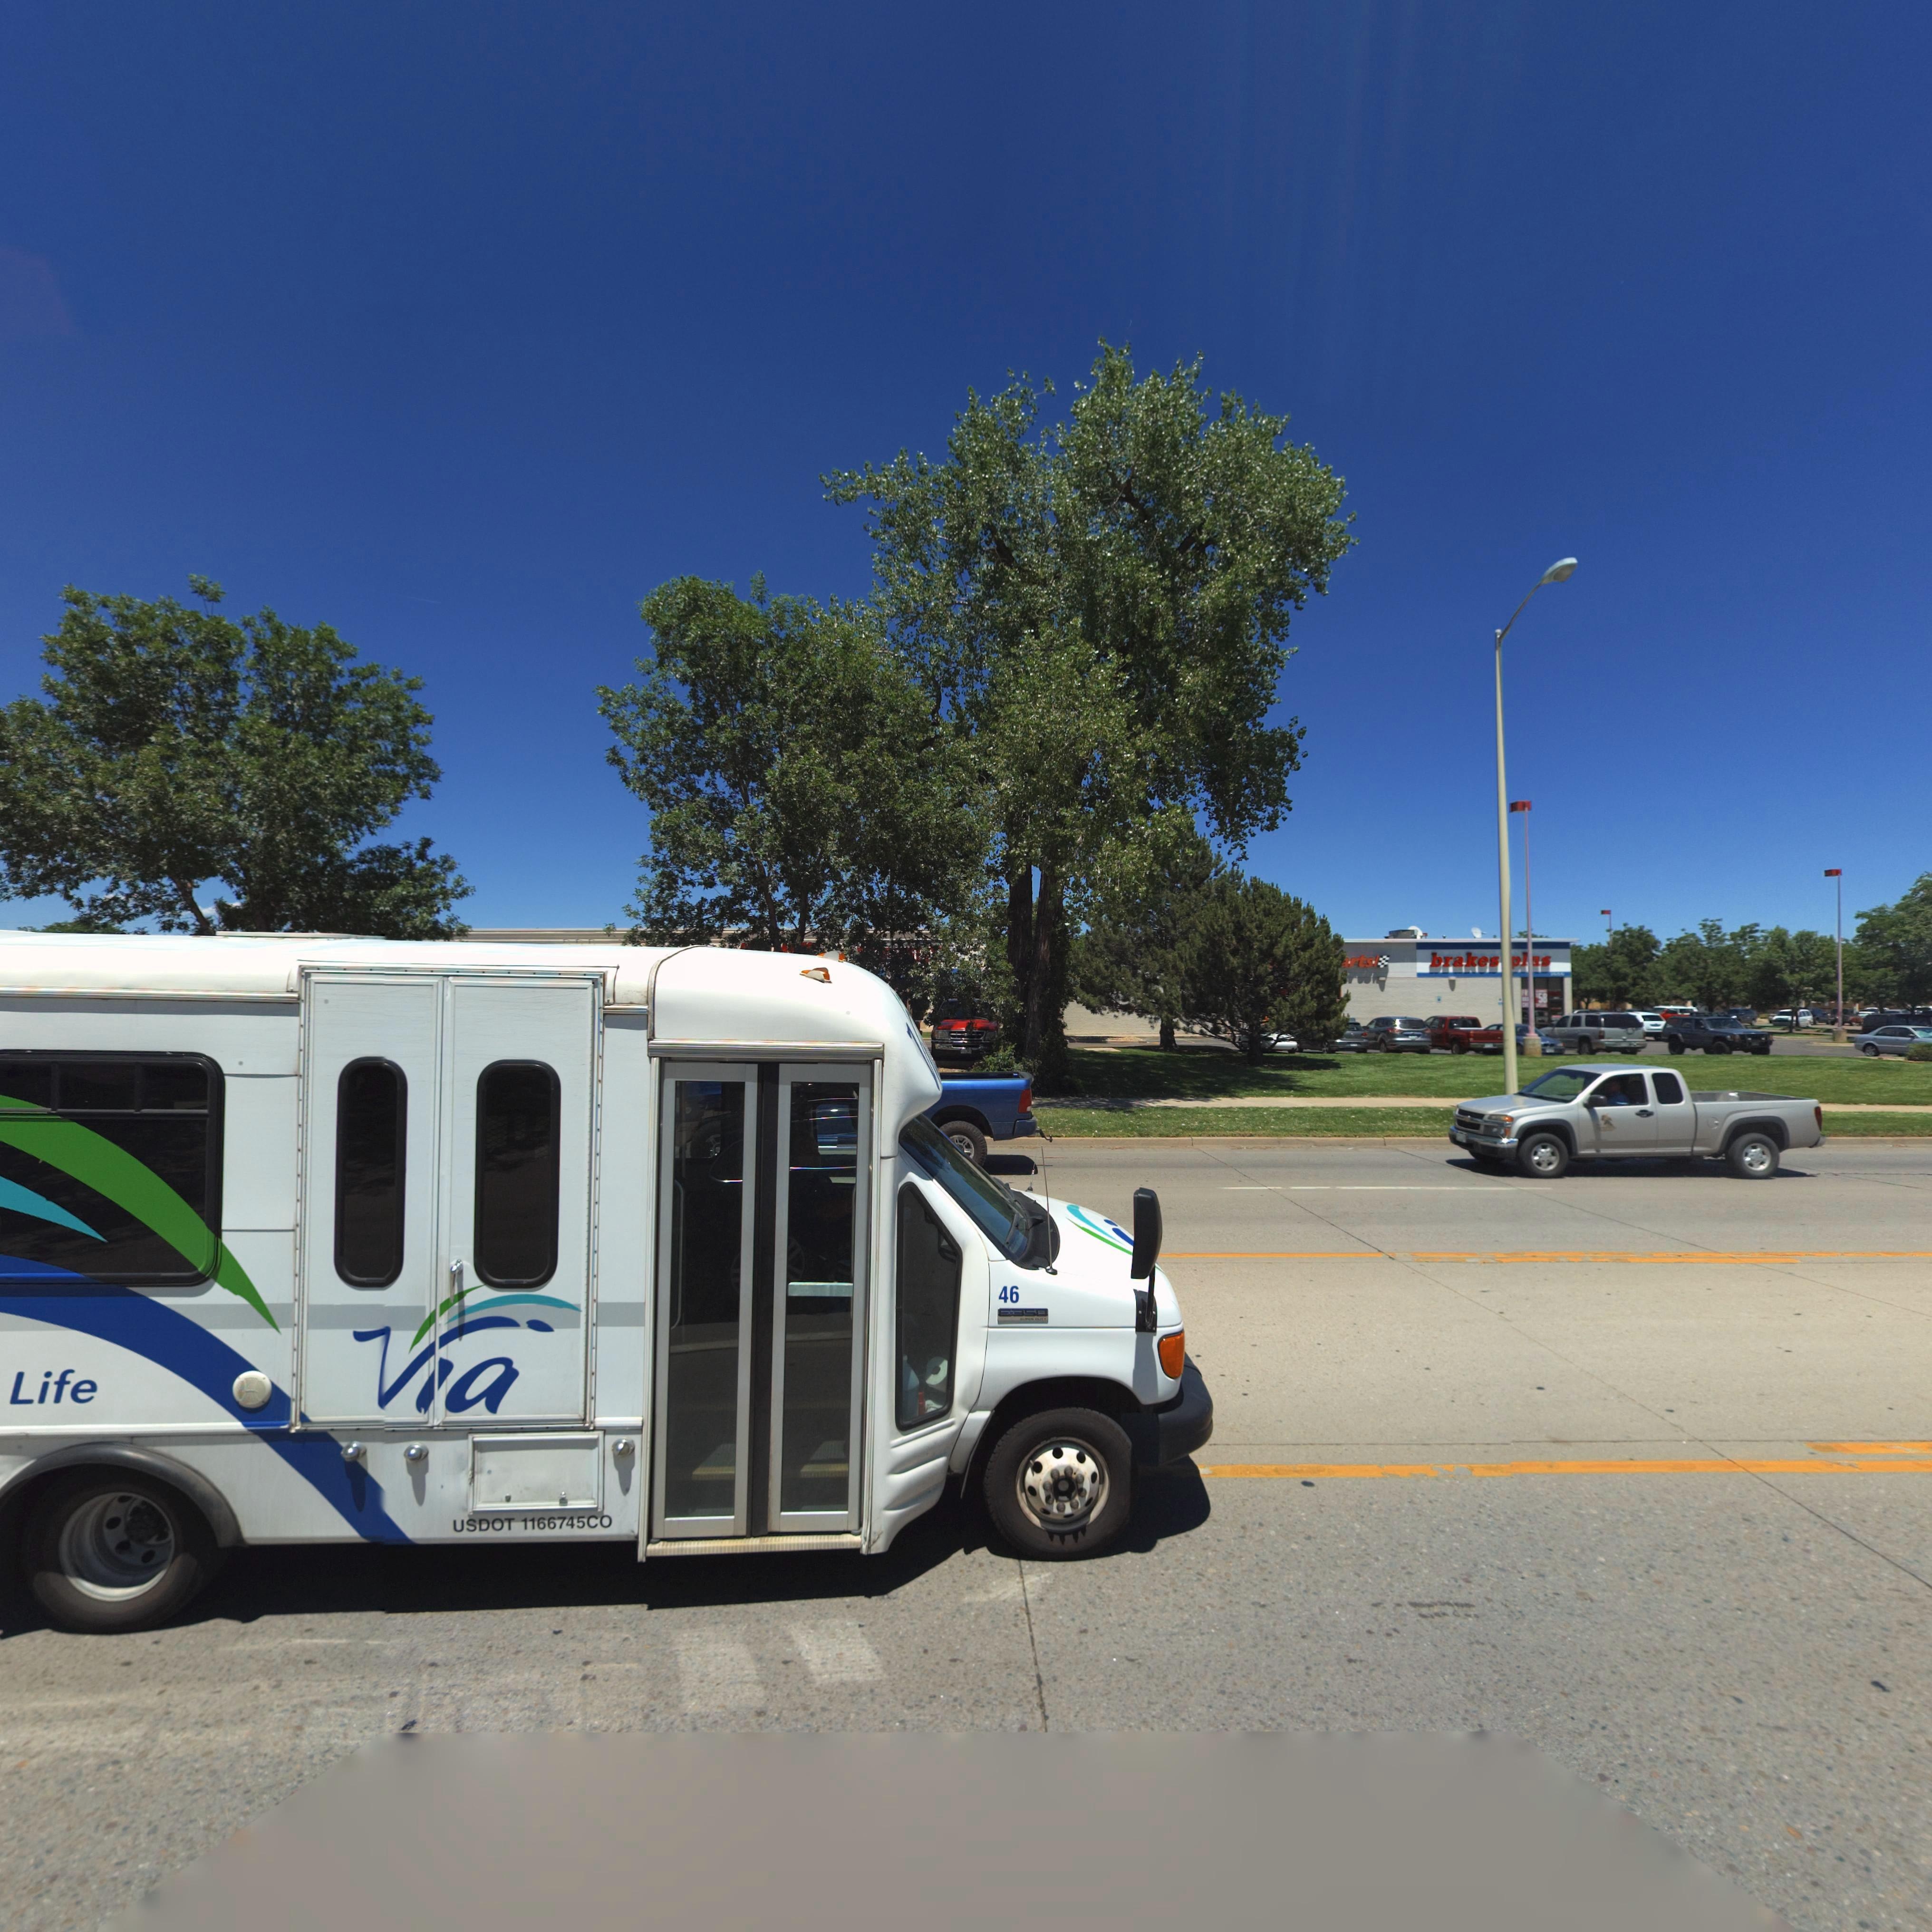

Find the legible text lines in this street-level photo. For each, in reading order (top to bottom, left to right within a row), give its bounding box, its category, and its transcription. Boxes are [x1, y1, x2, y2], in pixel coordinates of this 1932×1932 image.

[1340, 954, 1374, 968] BusinessName: *rts
[1430, 950, 1551, 970] BusinessName: brakes plus